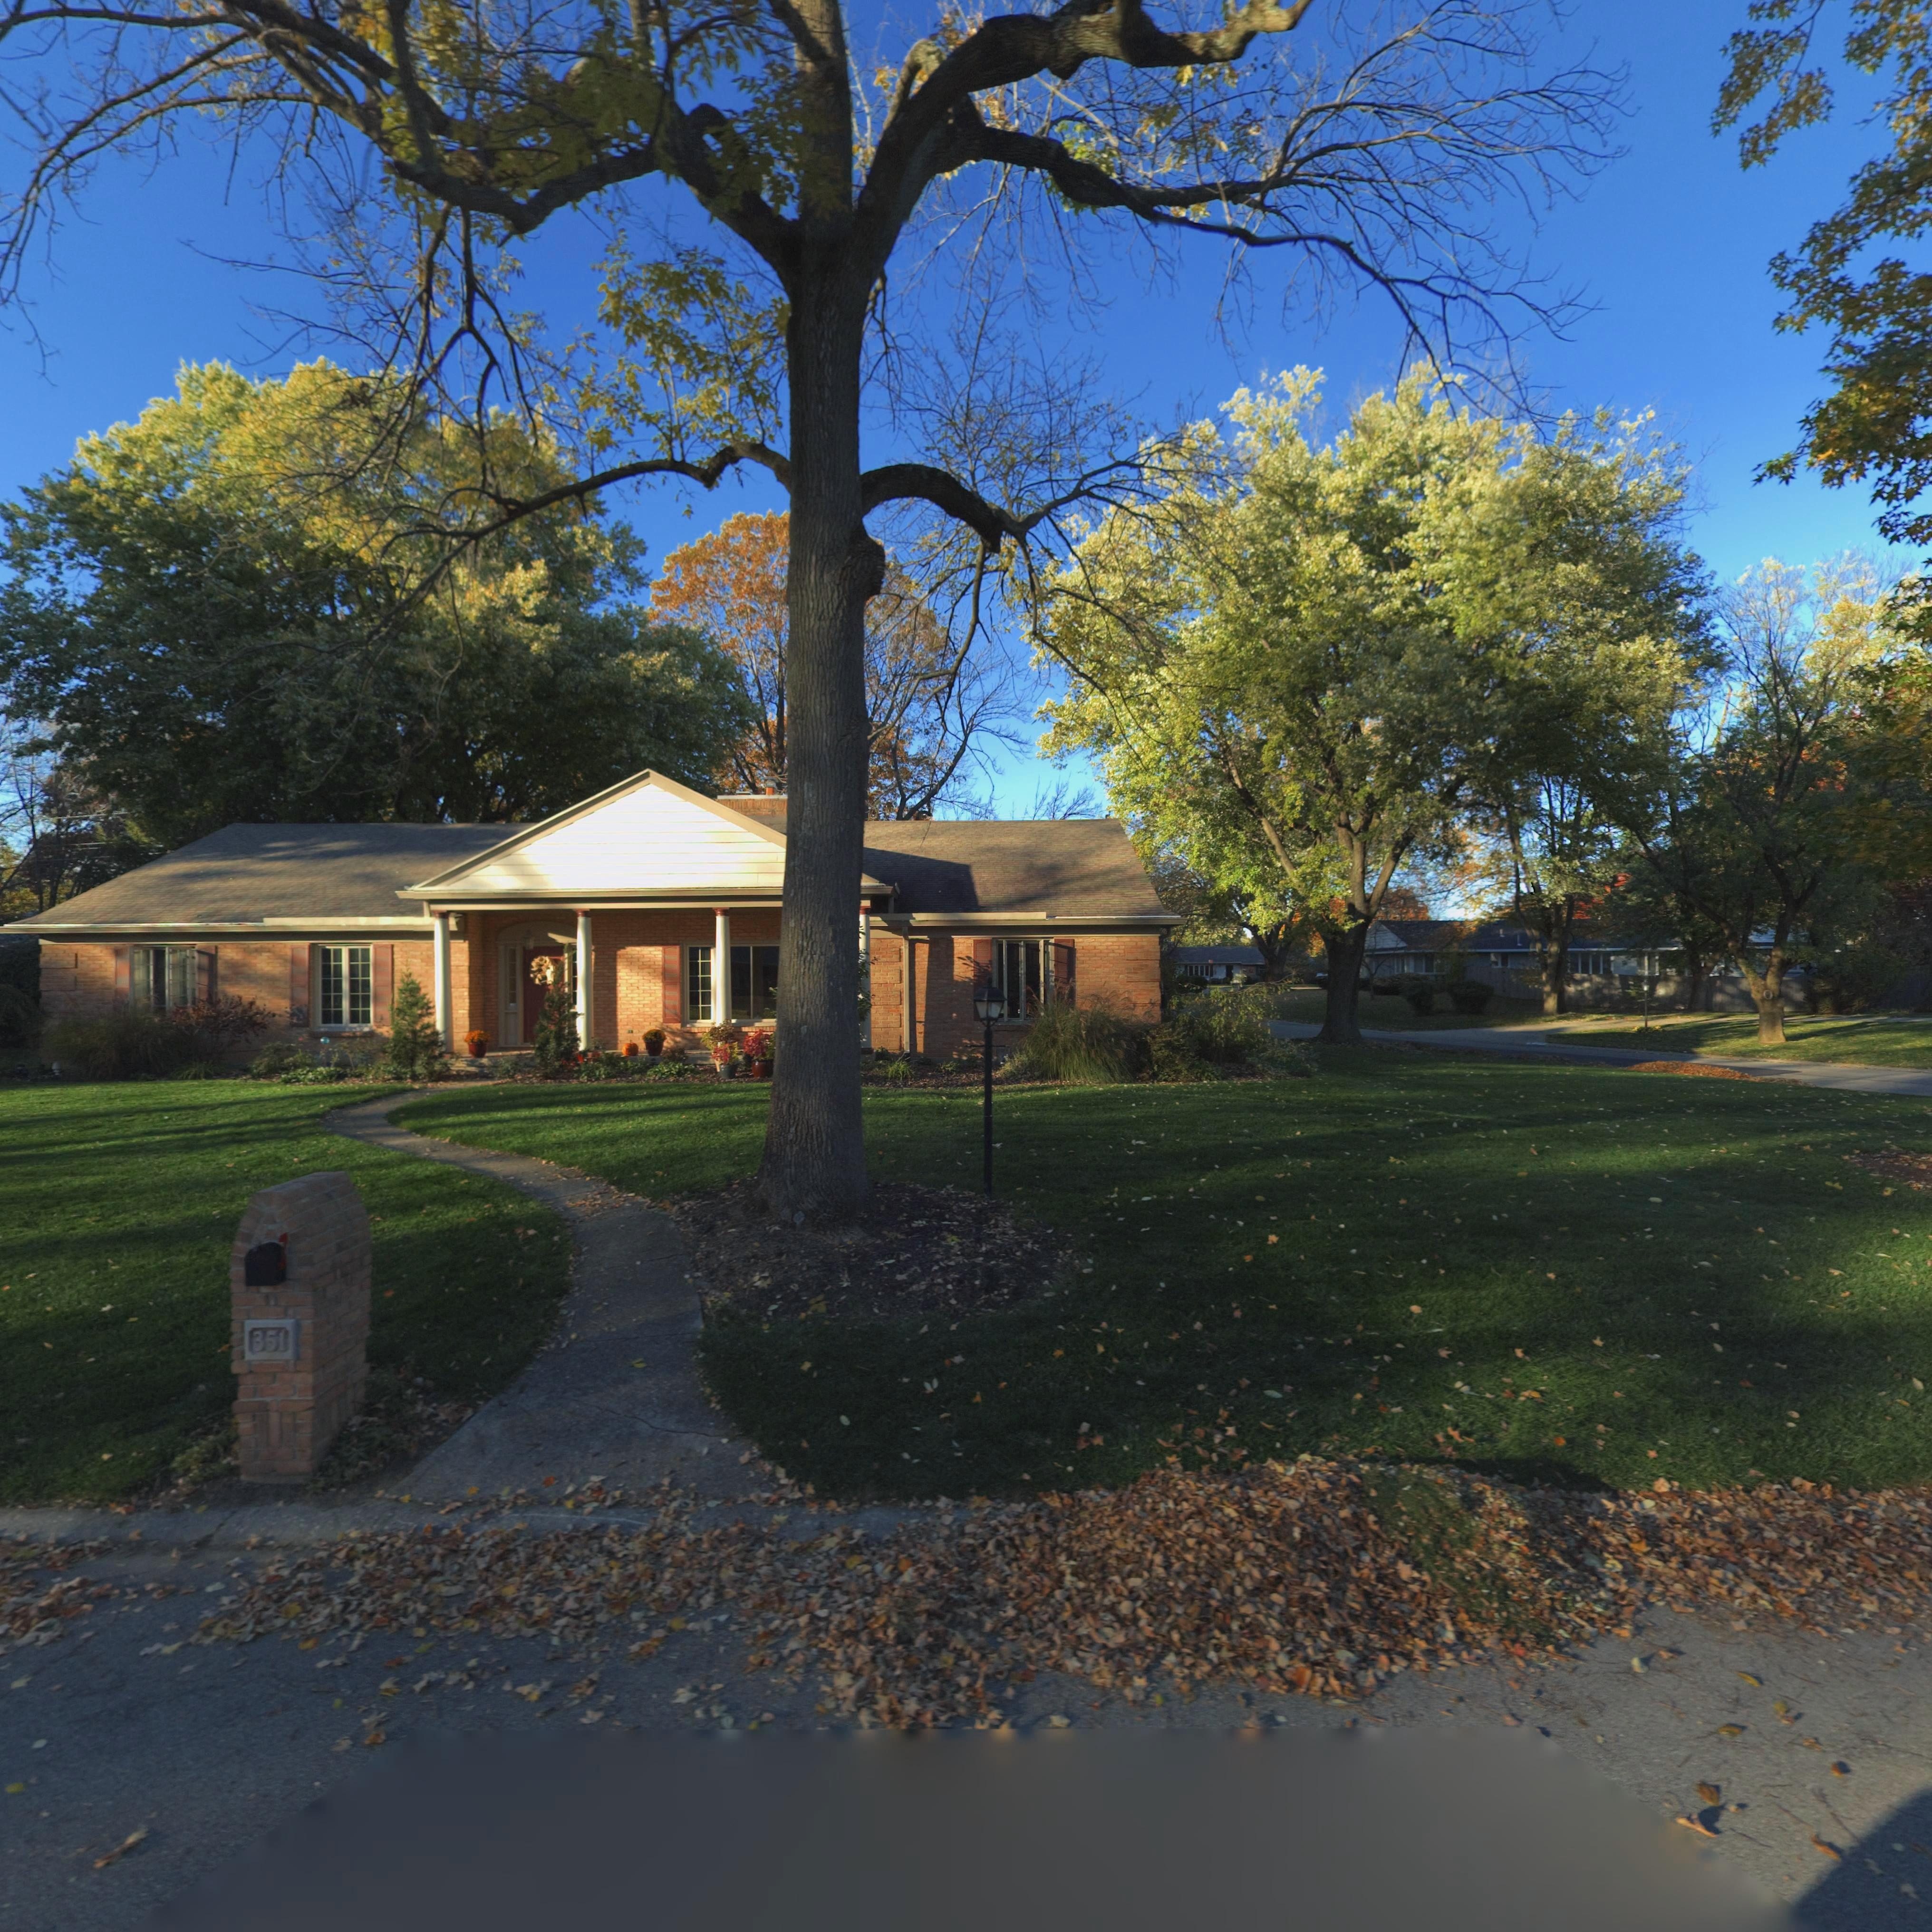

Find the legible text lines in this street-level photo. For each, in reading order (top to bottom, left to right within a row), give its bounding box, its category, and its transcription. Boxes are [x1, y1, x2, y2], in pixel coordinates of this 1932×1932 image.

[251, 1329, 285, 1352] StreetNumber: 351